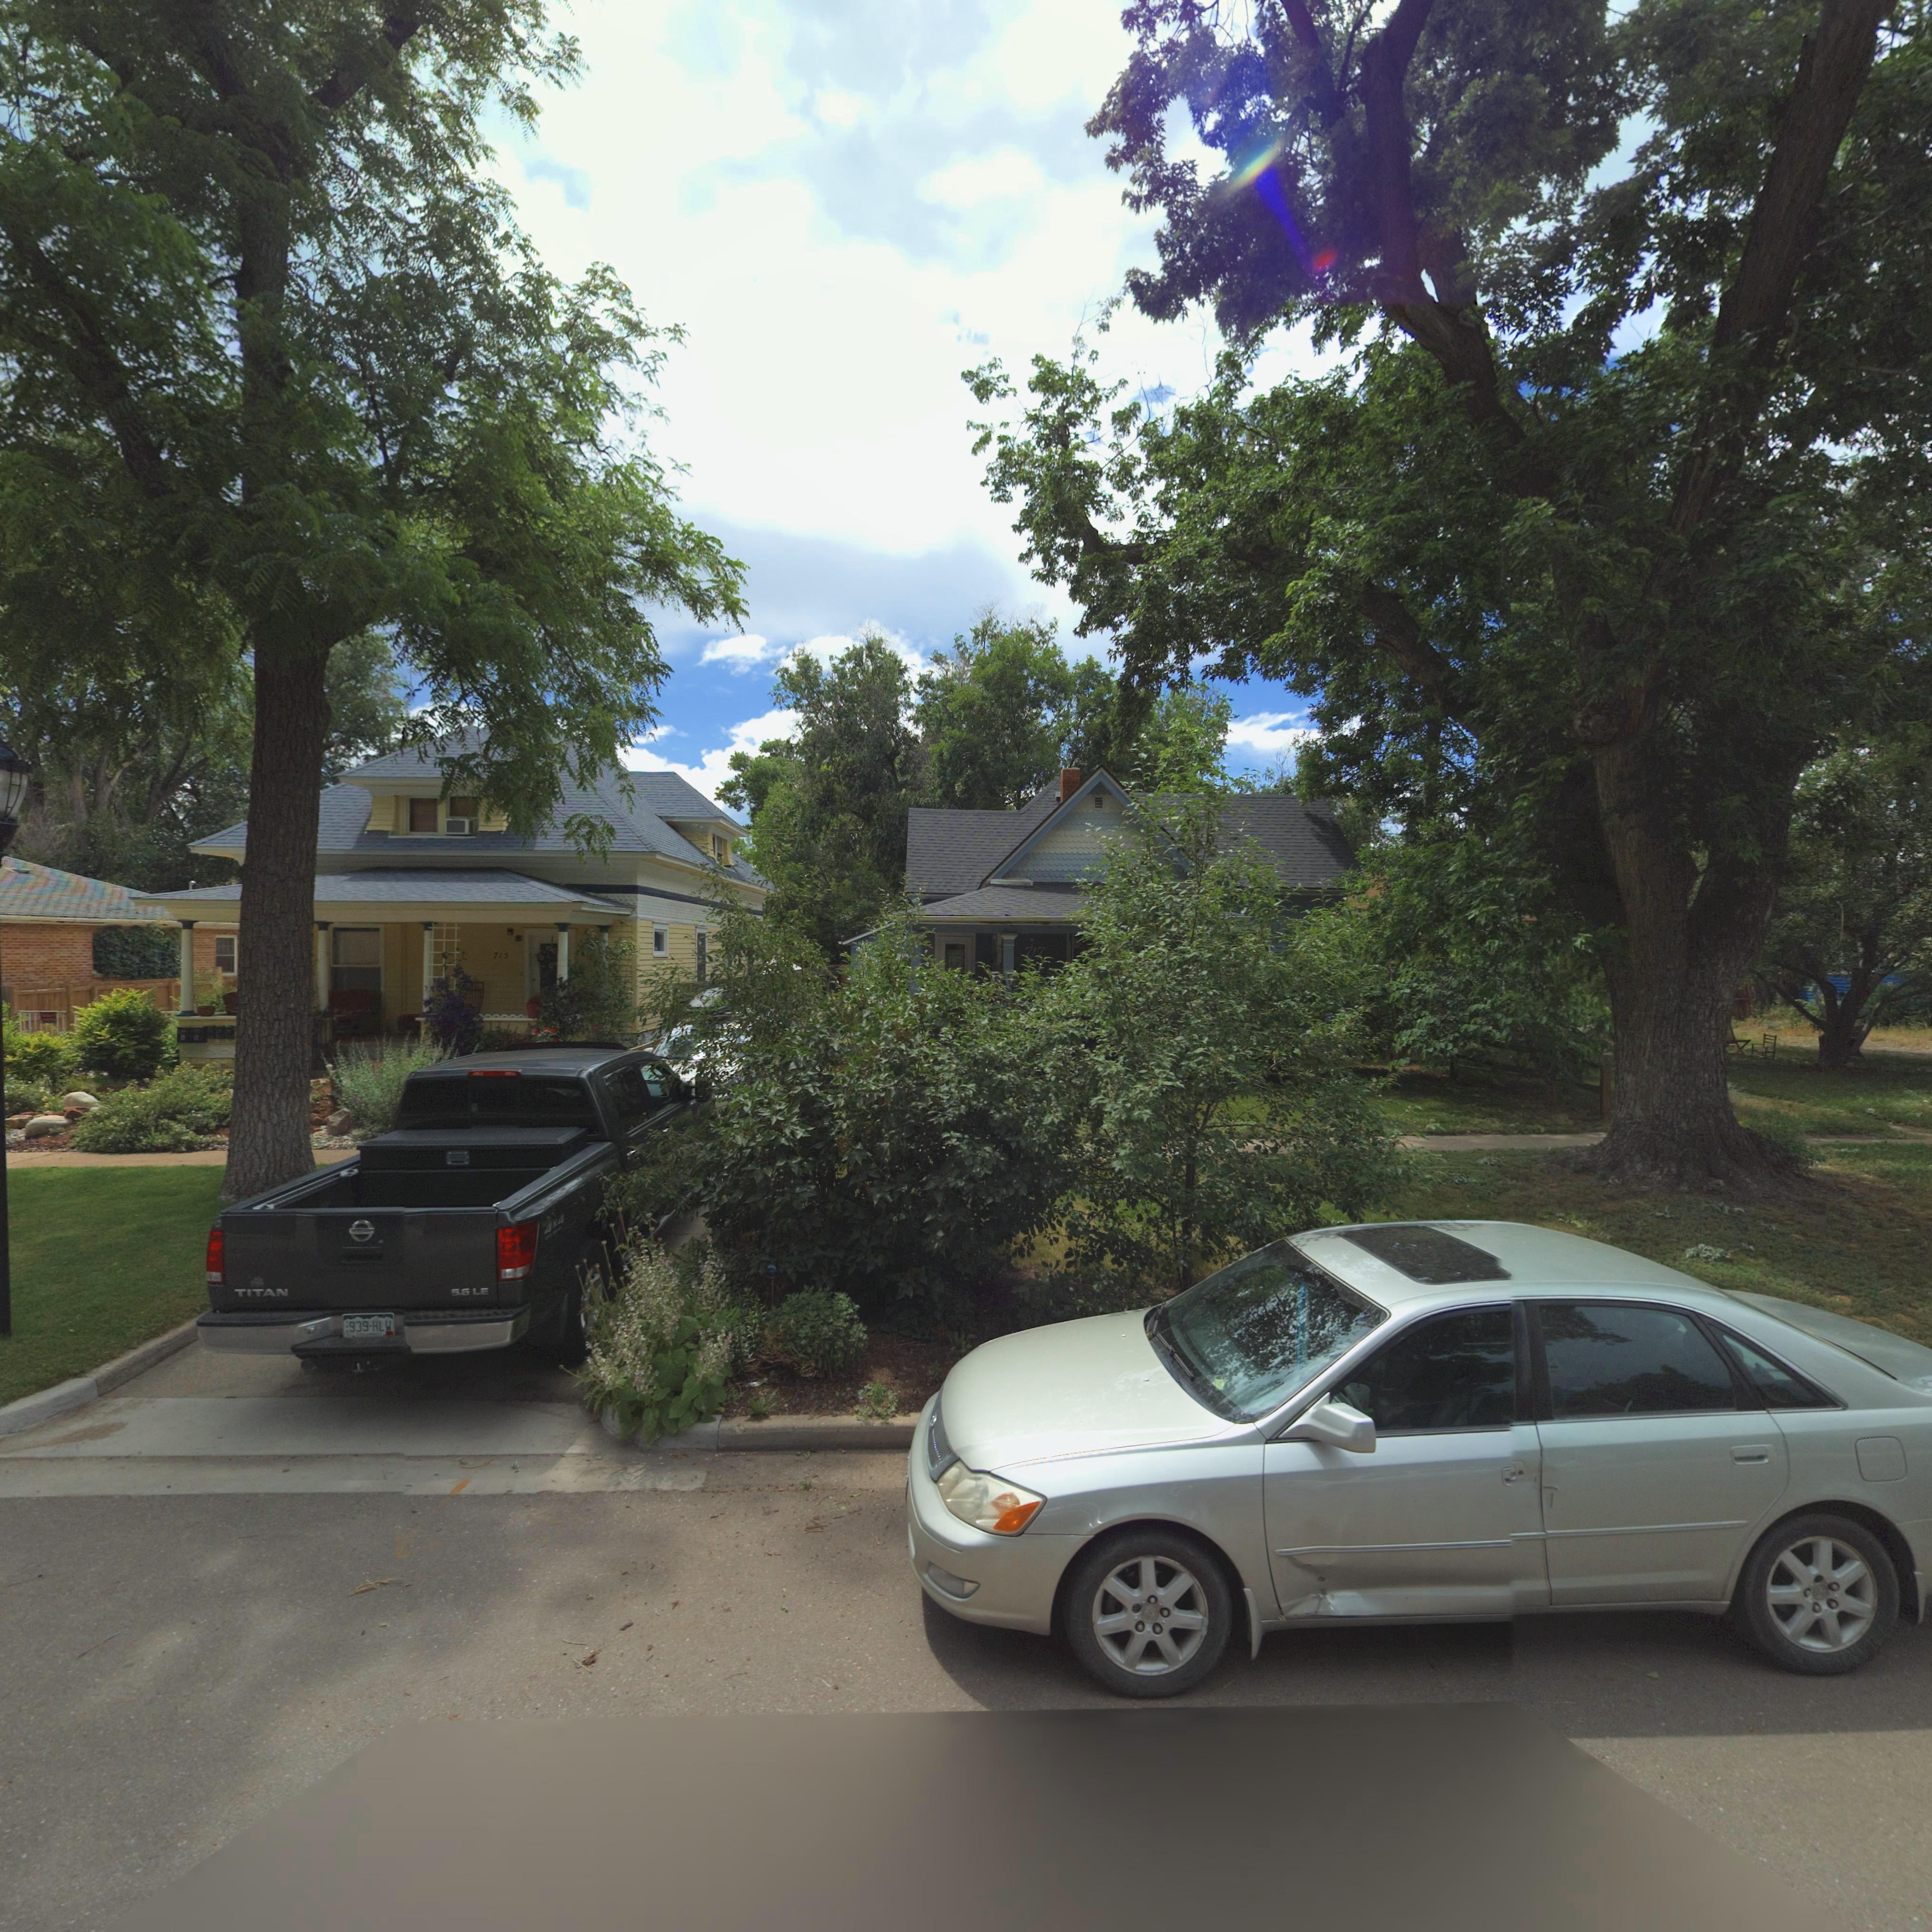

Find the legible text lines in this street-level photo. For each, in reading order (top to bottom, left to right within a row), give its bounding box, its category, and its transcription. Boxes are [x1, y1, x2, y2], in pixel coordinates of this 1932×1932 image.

[493, 951, 510, 959] StreetNumber: 715
[1022, 945, 1047, 961] StreetNumber: 717